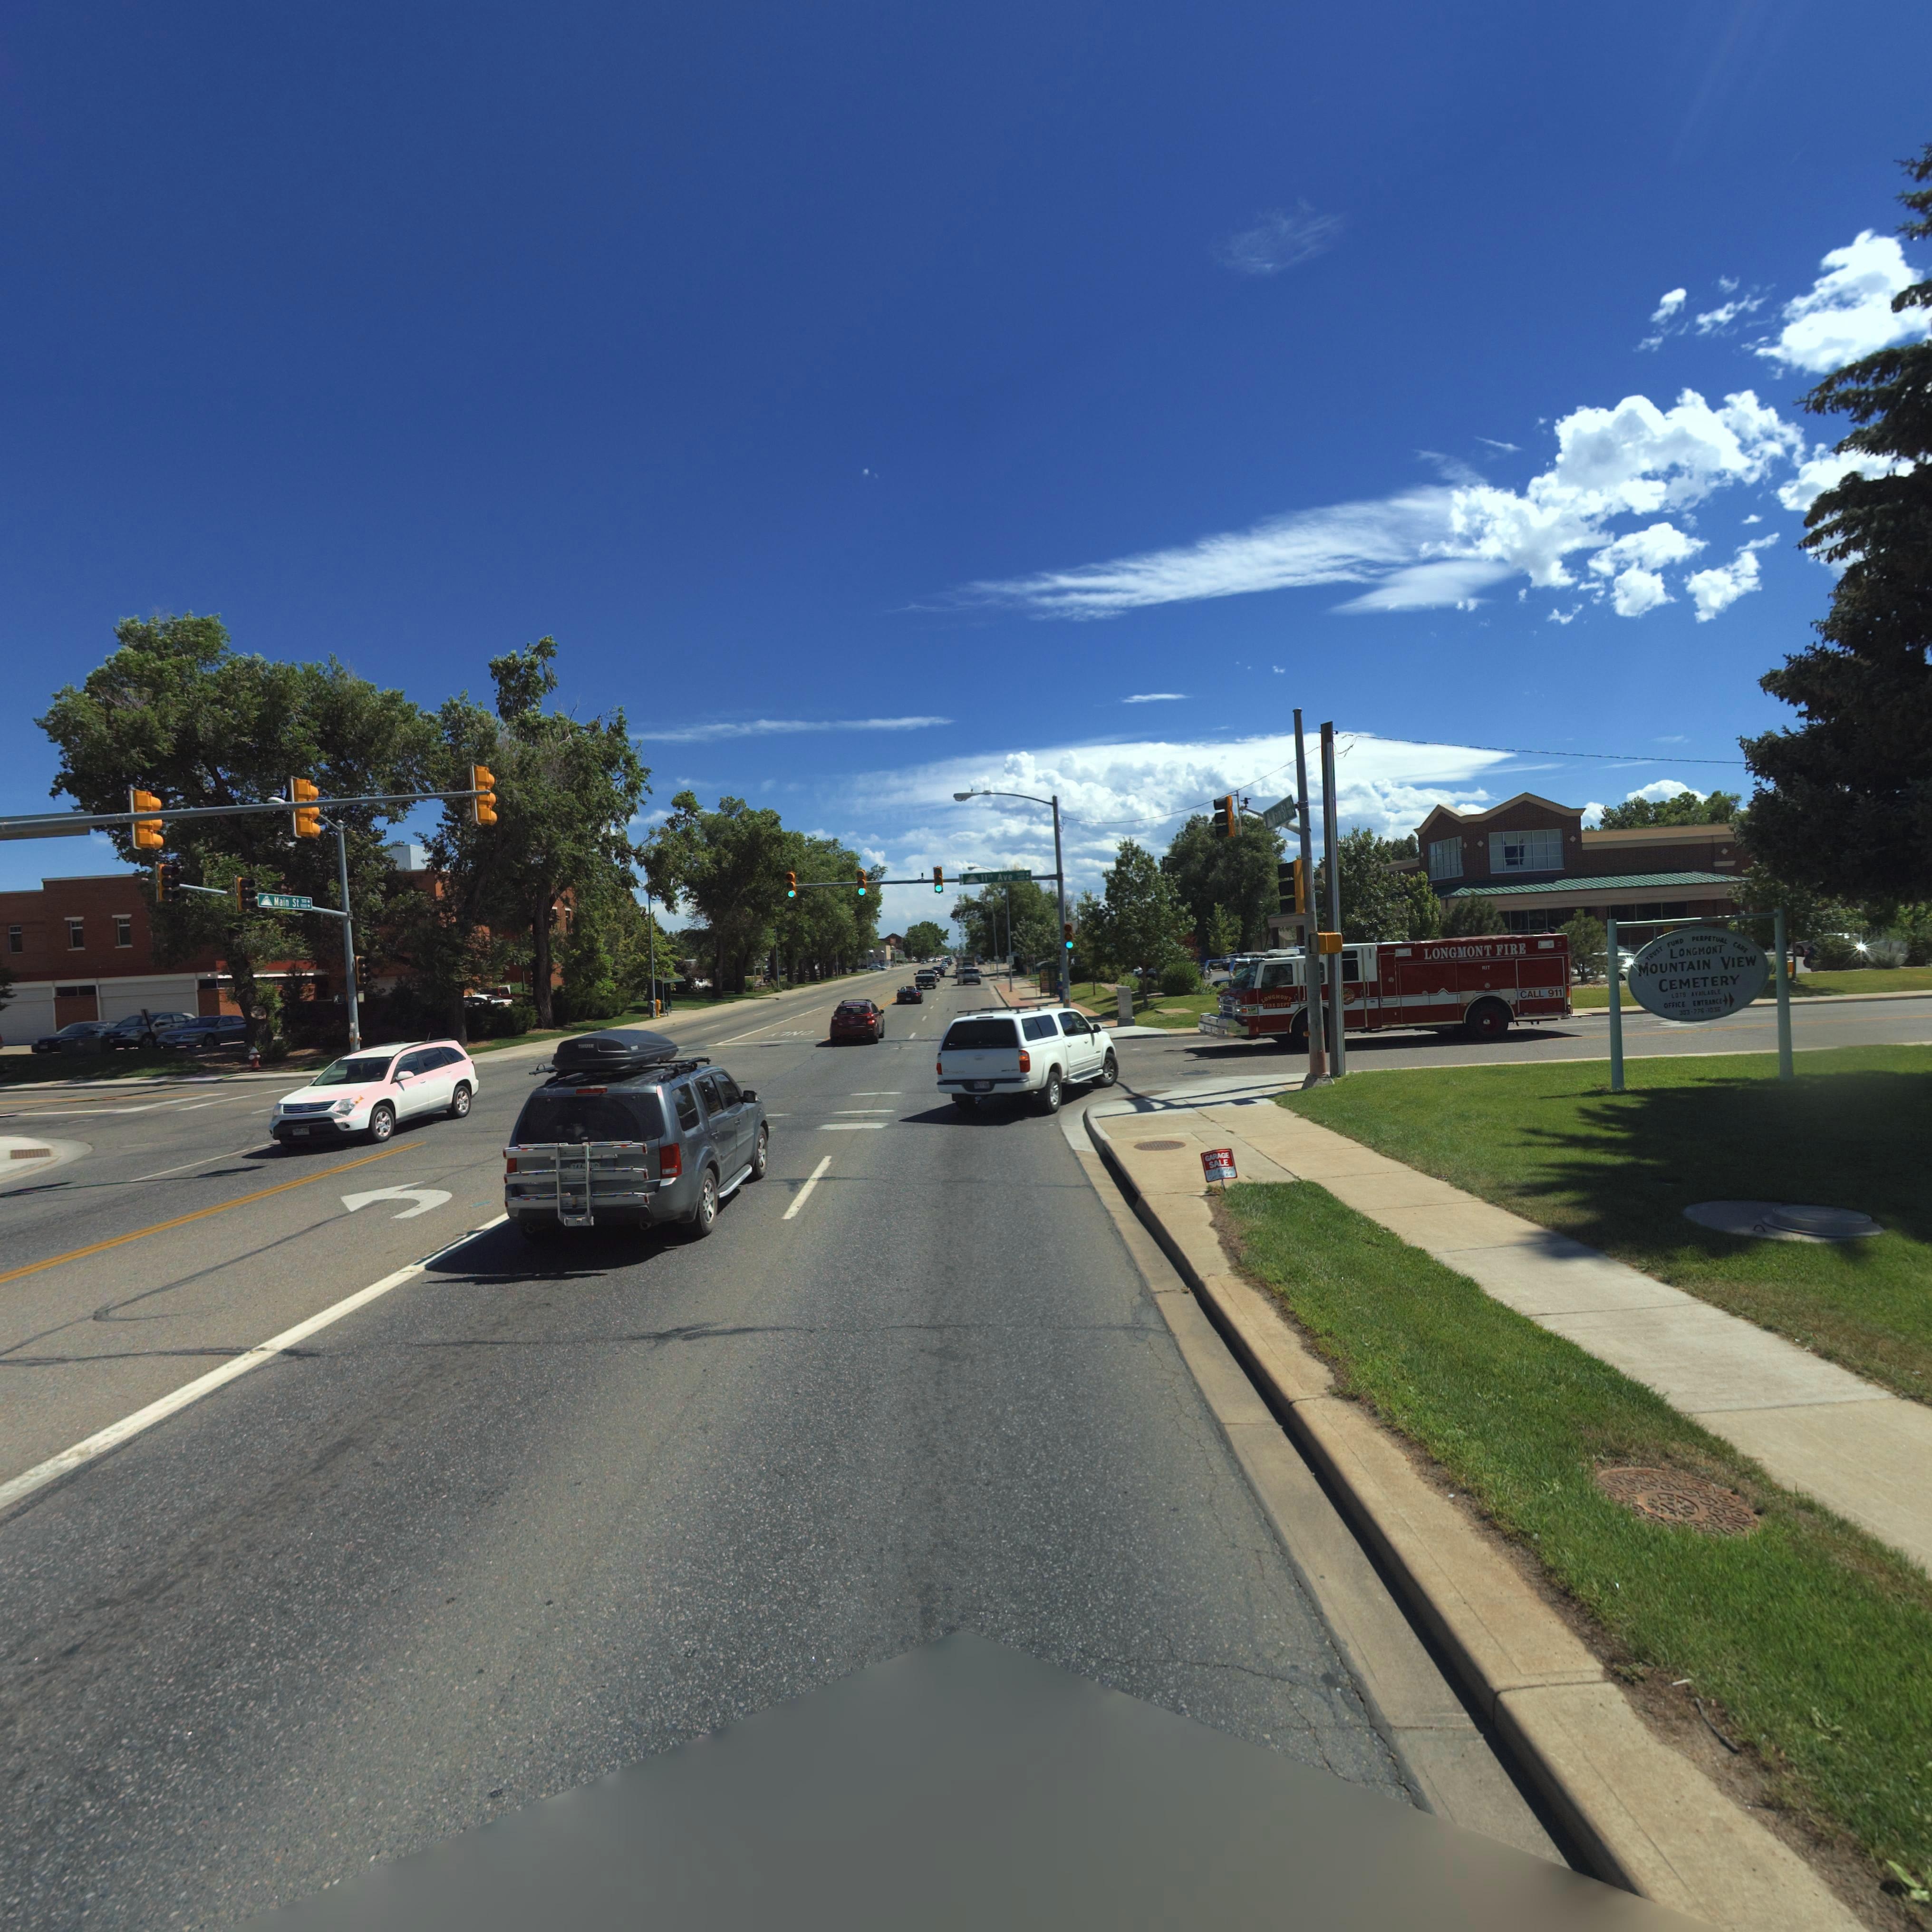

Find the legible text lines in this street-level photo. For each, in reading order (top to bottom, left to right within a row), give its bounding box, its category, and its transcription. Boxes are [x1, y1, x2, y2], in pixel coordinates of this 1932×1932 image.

[1271, 804, 1288, 825] StreetName: *ain St
[981, 873, 1013, 882] StreetName: 11th Ave
[273, 896, 299, 908] StreetName: Main St
[1670, 944, 1725, 959] BusinessName: LONGMONT
[1638, 954, 1757, 977] BusinessName: MOUNTAIN VIEW
[1658, 974, 1740, 993] BusinessName: CEMETERY